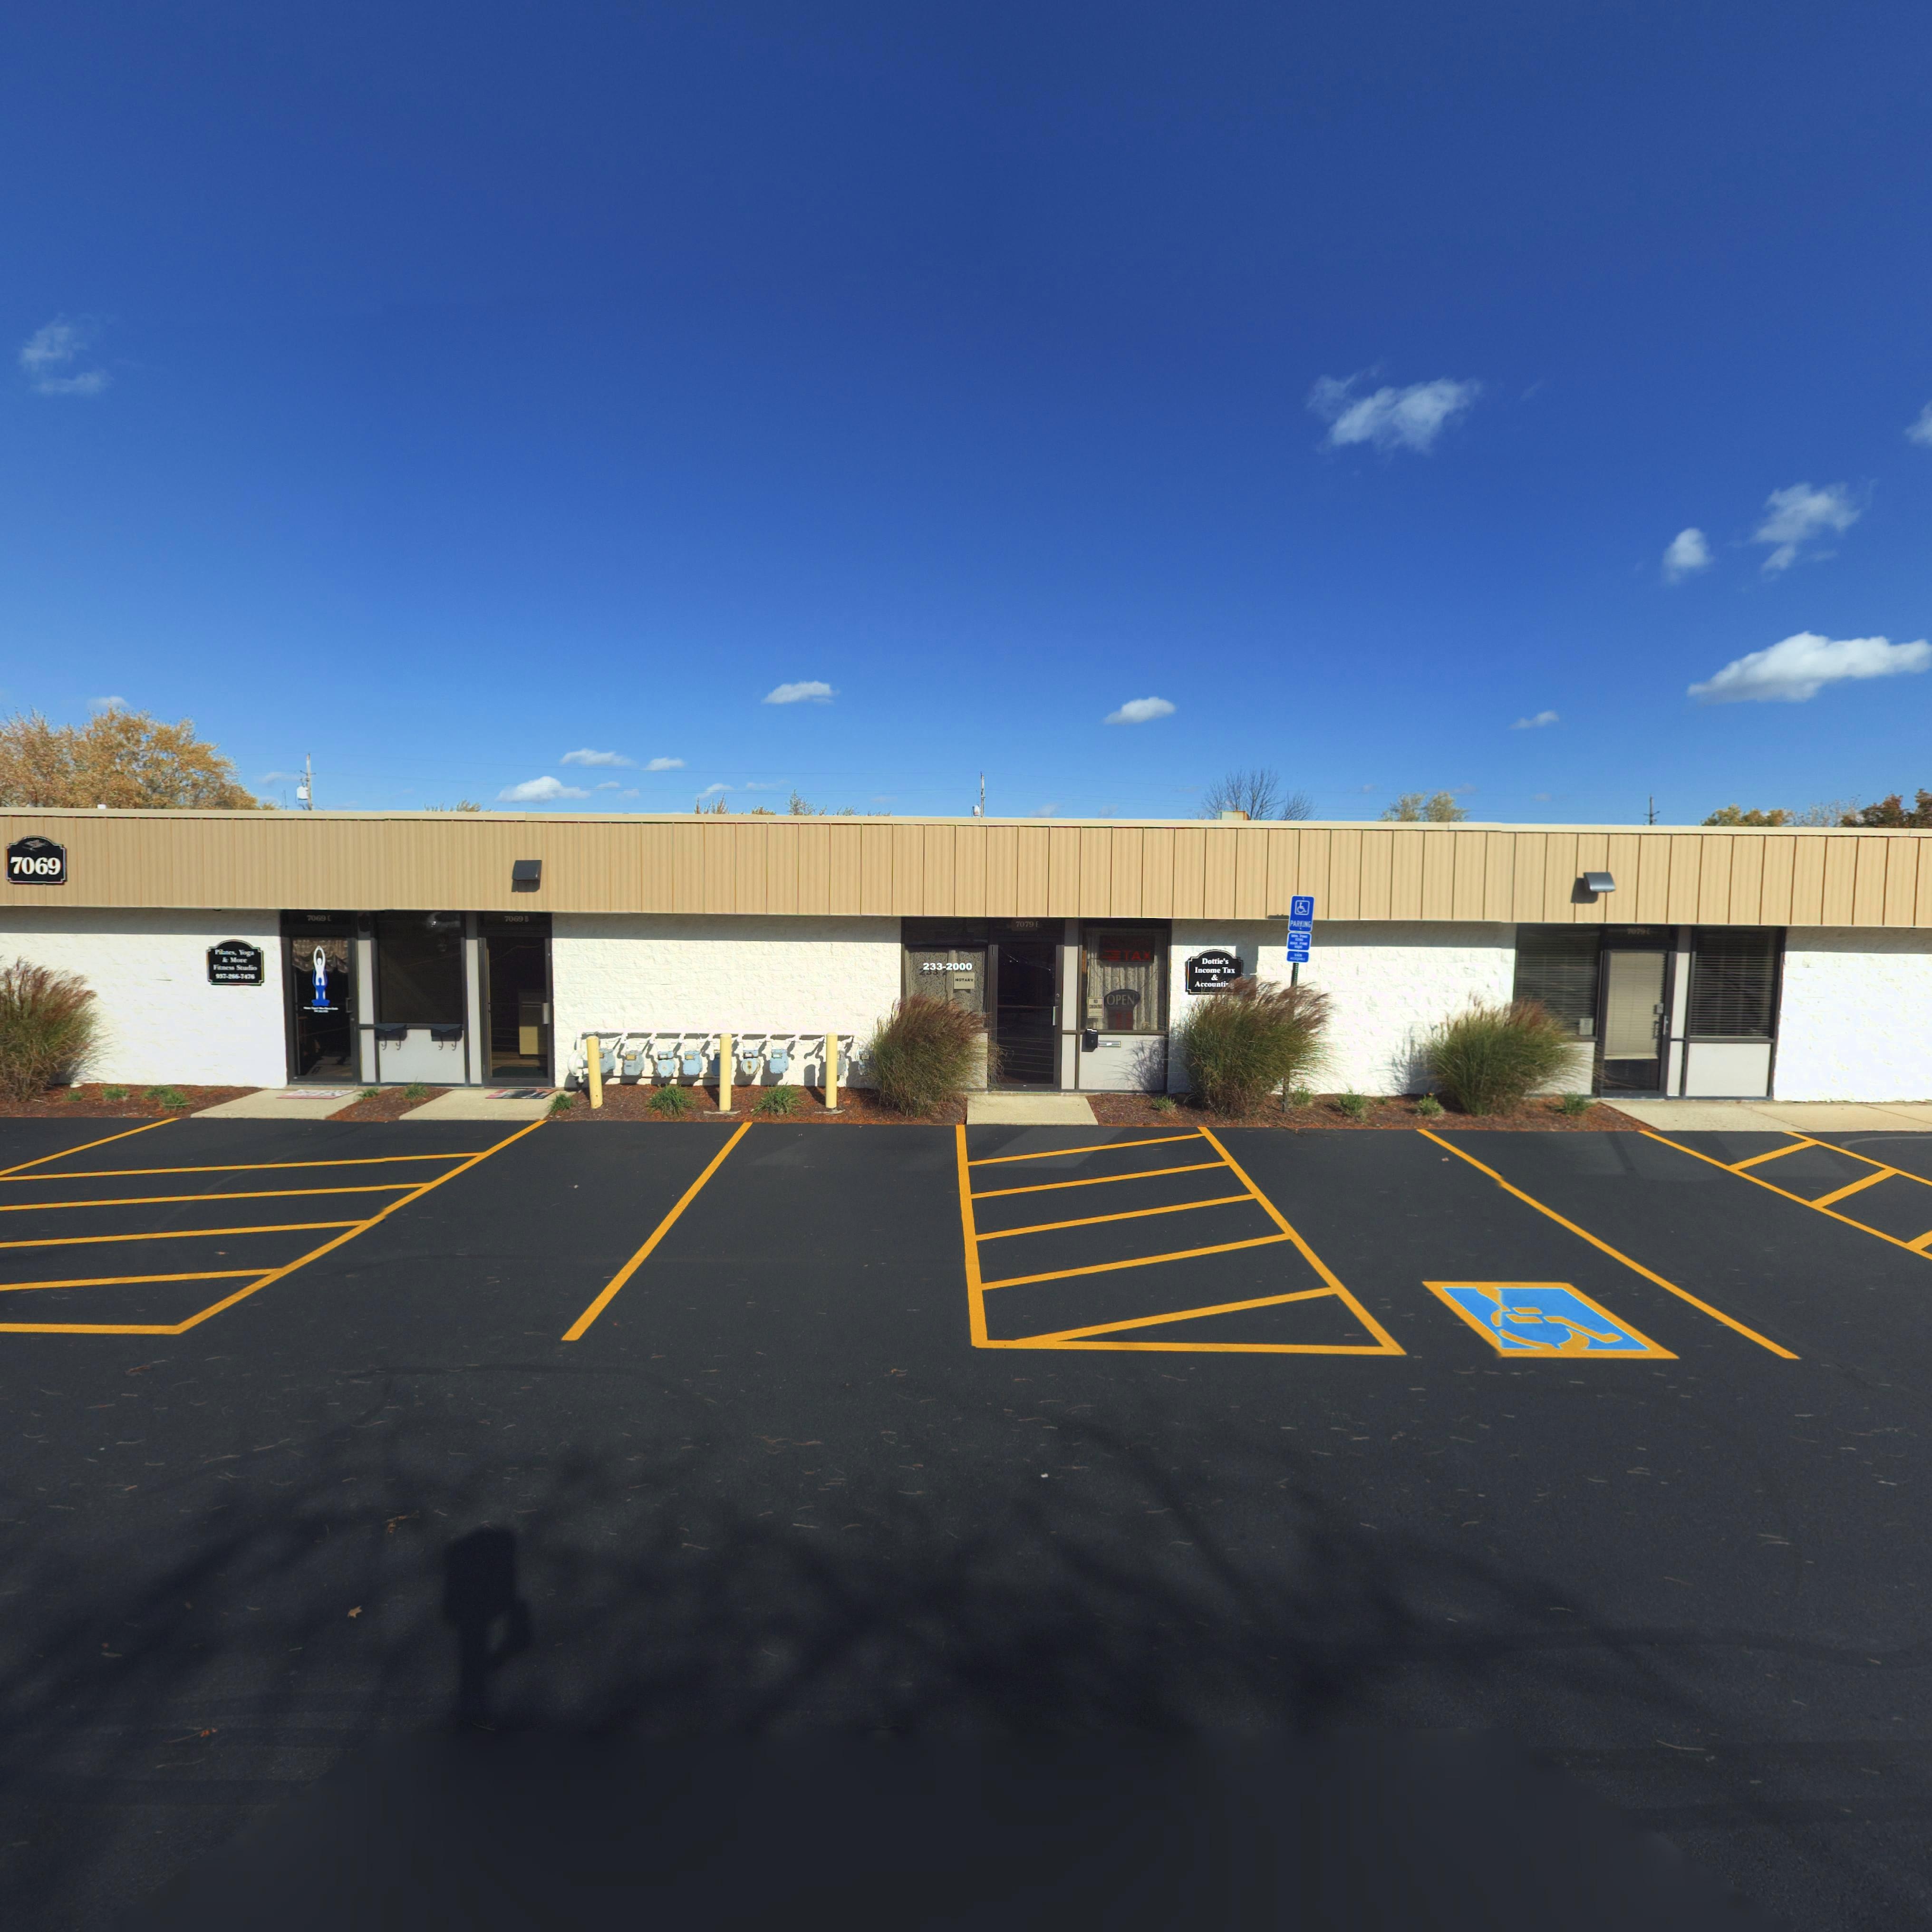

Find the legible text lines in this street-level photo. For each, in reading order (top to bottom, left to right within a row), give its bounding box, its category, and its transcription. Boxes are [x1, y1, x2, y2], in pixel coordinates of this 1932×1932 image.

[9, 855, 63, 877] StreetNumber: 7069
[306, 914, 333, 923] StreetNumber: 7069 C
[503, 914, 530, 923] StreetNumber: 7069 B
[1014, 920, 1040, 929] StreetNumber: 7079 E
[1625, 927, 1652, 937] StreetNumber: 7079 *